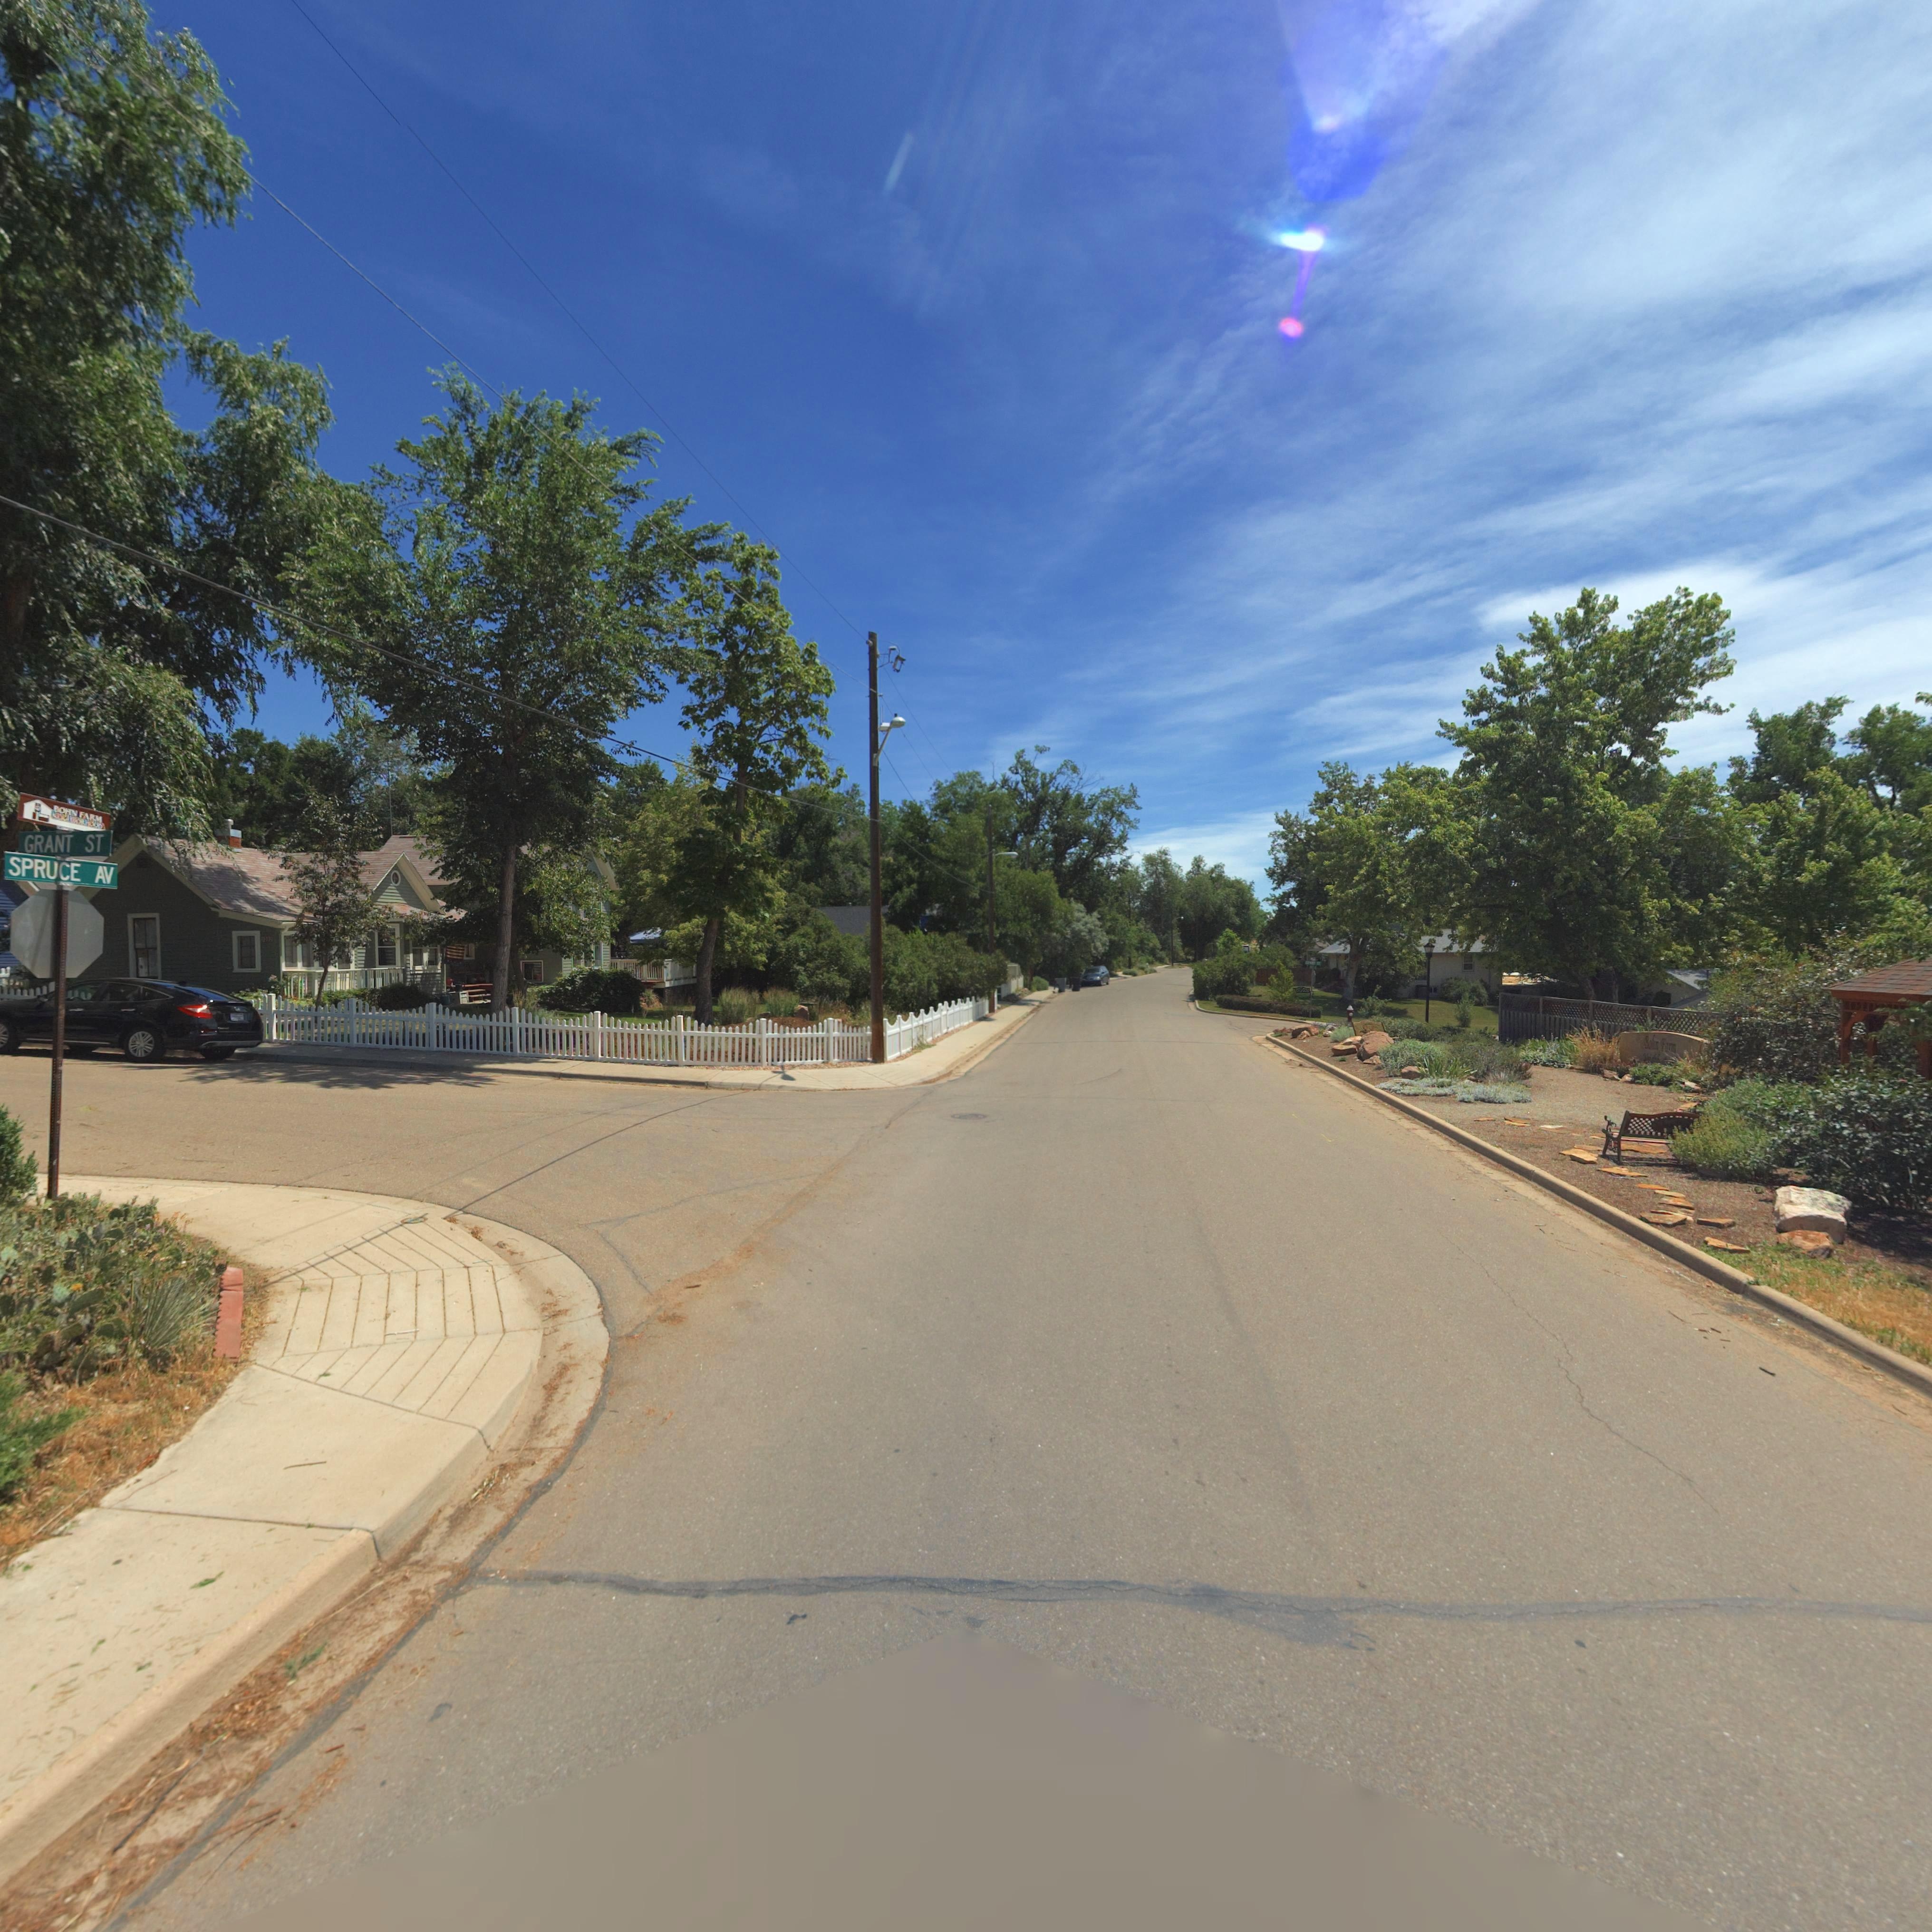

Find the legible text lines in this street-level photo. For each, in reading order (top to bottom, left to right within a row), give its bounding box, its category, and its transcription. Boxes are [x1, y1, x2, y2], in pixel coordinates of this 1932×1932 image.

[25, 834, 103, 852] StreetName: GRANT ST
[7, 856, 114, 884] StreetName: SPRUCE AV
[264, 937, 271, 941] StreetNumber: 20*
[1305, 960, 1320, 966] StreetName: *H**T S*